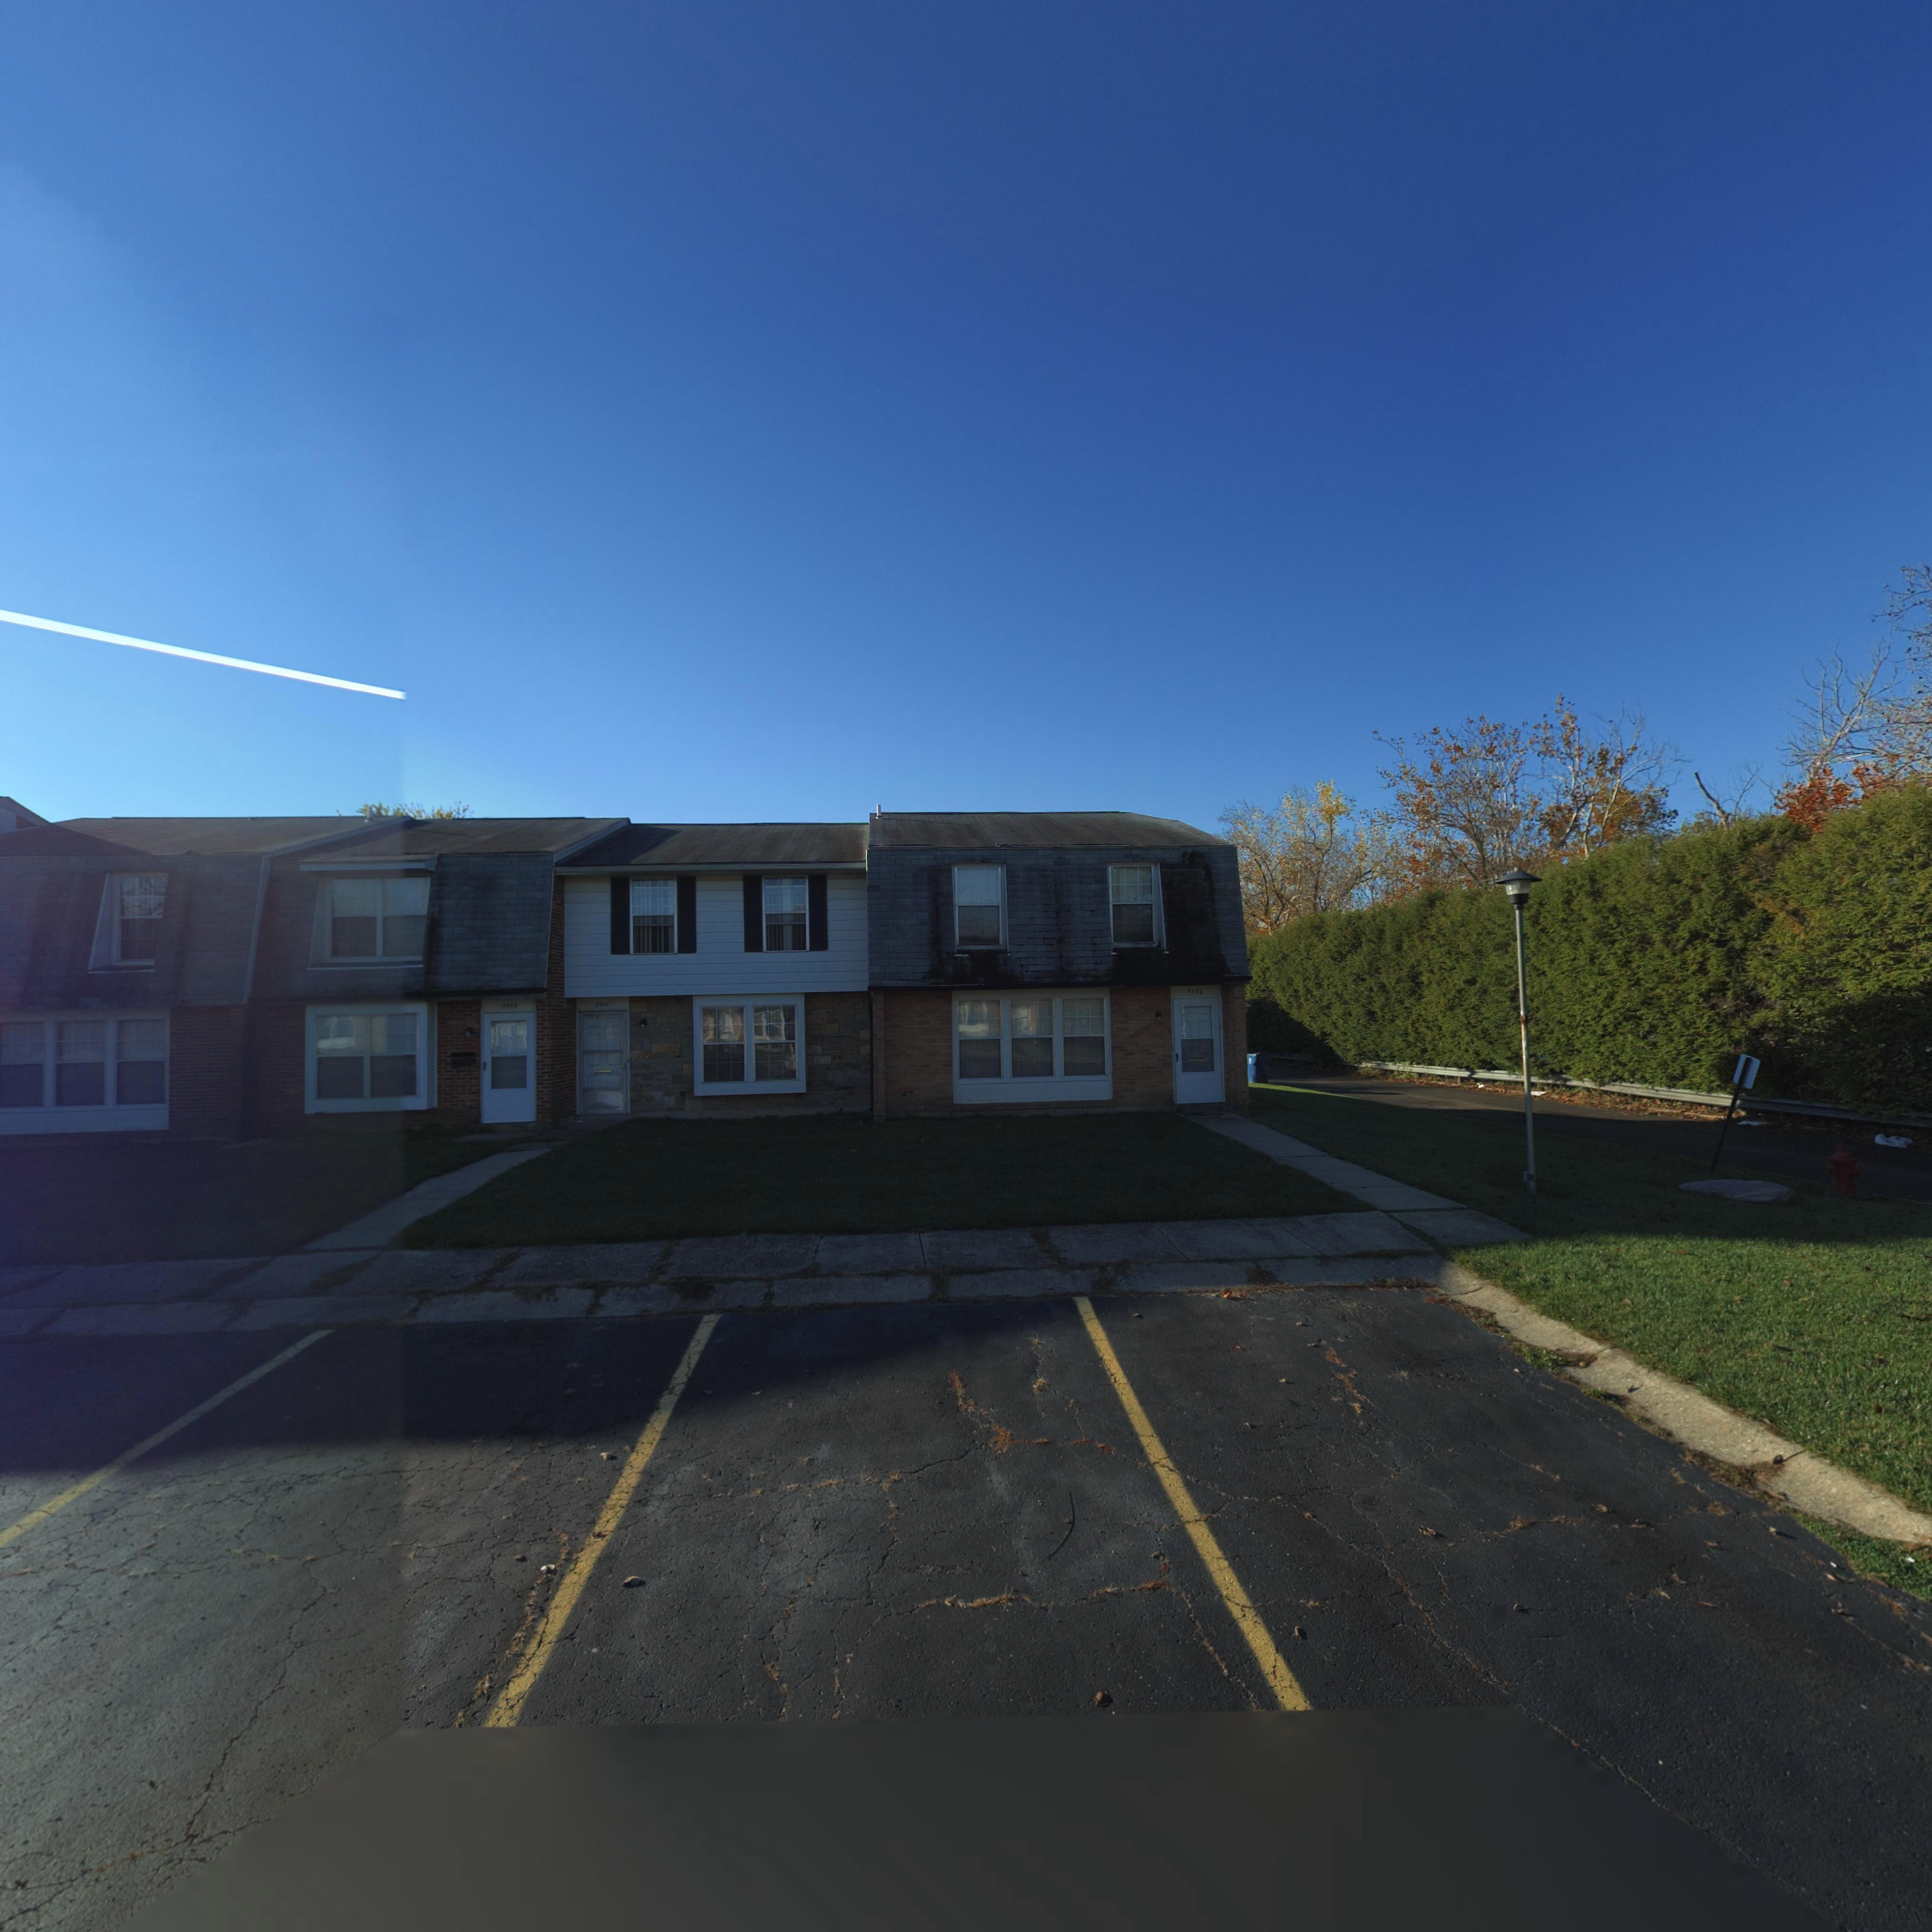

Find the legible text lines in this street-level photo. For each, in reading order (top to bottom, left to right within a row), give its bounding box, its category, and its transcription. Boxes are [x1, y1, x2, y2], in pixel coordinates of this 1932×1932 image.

[1186, 988, 1204, 995] StreetNumber: 7570
[501, 1002, 519, 1010] StreetNumber: **7*
[594, 1001, 609, 1008] StreetNumber: 7*72